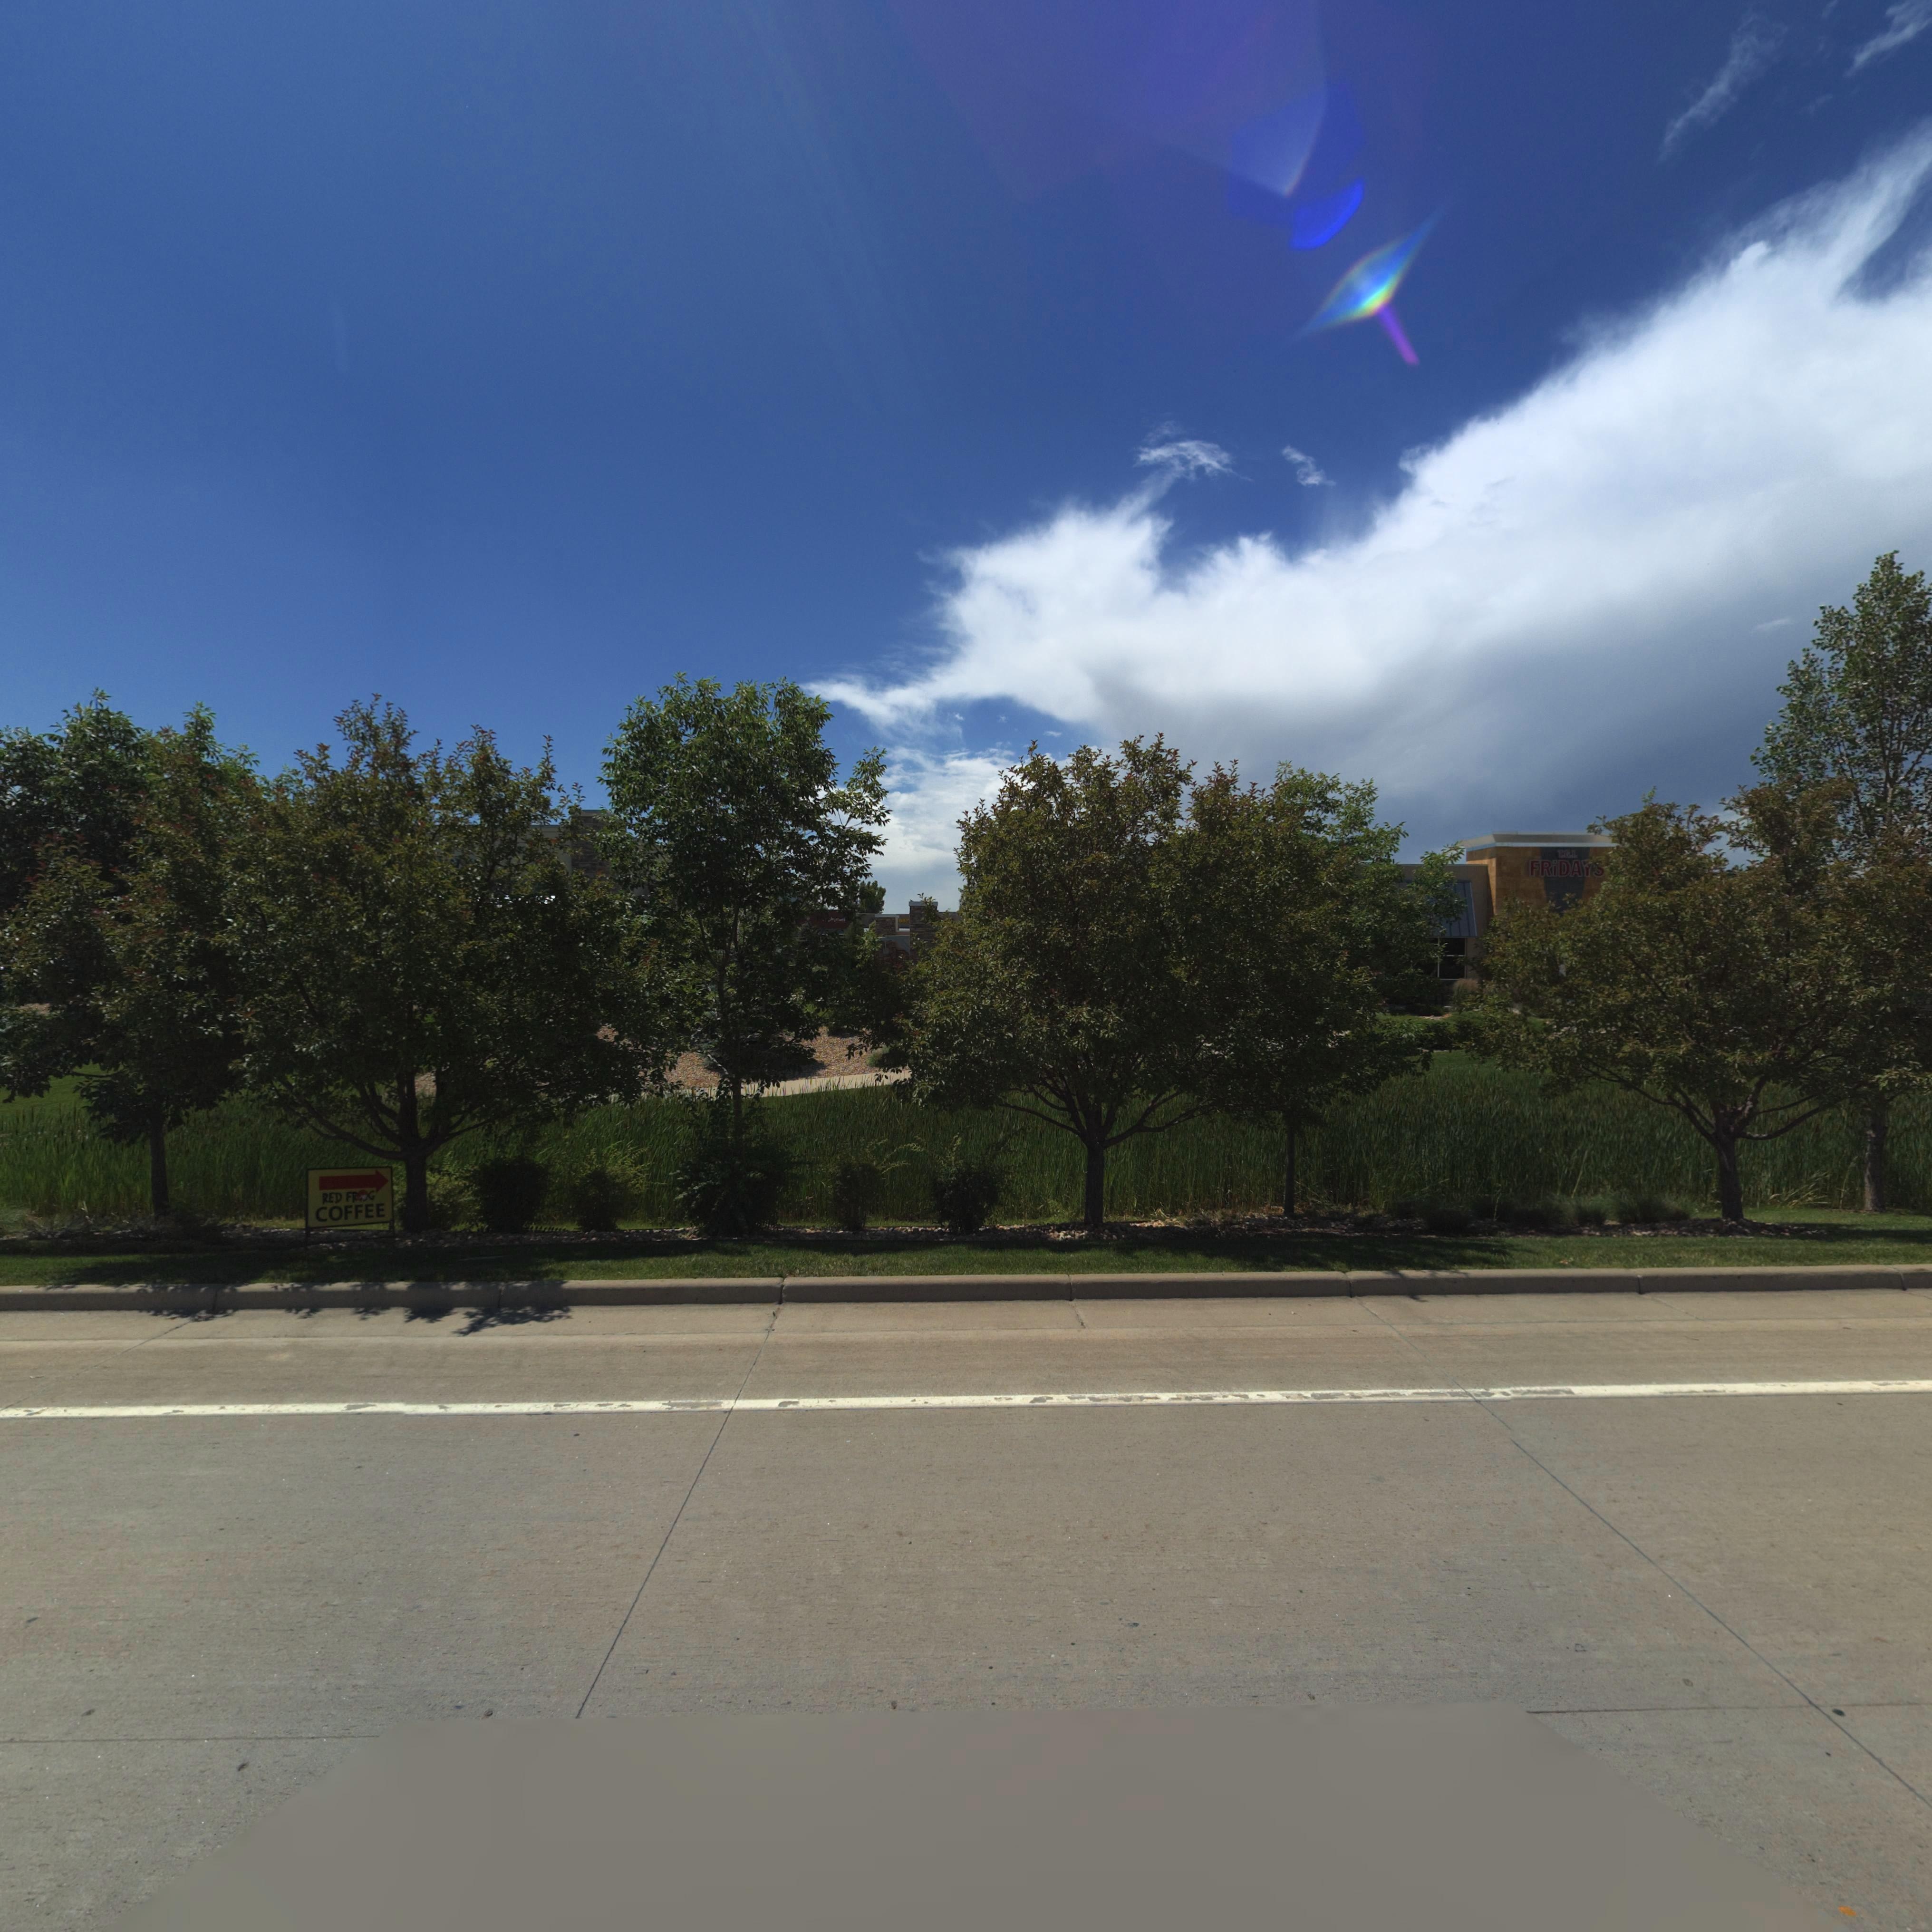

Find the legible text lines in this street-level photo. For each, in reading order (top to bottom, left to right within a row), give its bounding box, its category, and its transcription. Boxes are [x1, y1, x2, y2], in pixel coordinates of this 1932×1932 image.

[1556, 849, 1579, 858] BusinessName: T.G.I.
[1529, 859, 1605, 877] BusinessName: FRiDA**